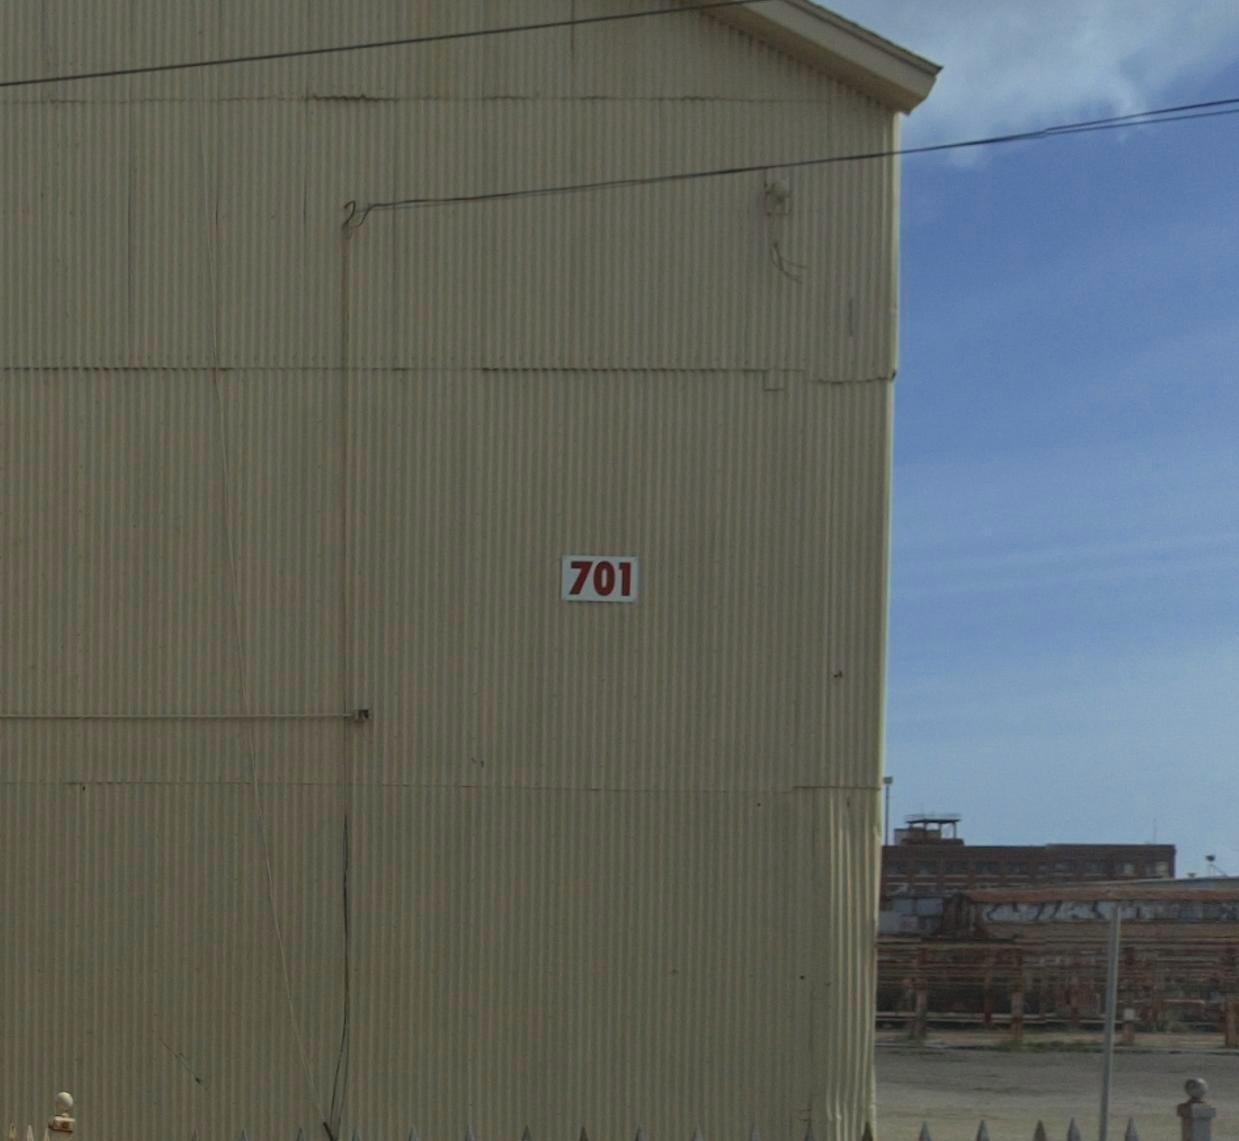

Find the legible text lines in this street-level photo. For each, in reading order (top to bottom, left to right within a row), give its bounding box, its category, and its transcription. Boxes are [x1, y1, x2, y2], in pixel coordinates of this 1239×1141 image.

[567, 560, 632, 597] StreetNumber: 701